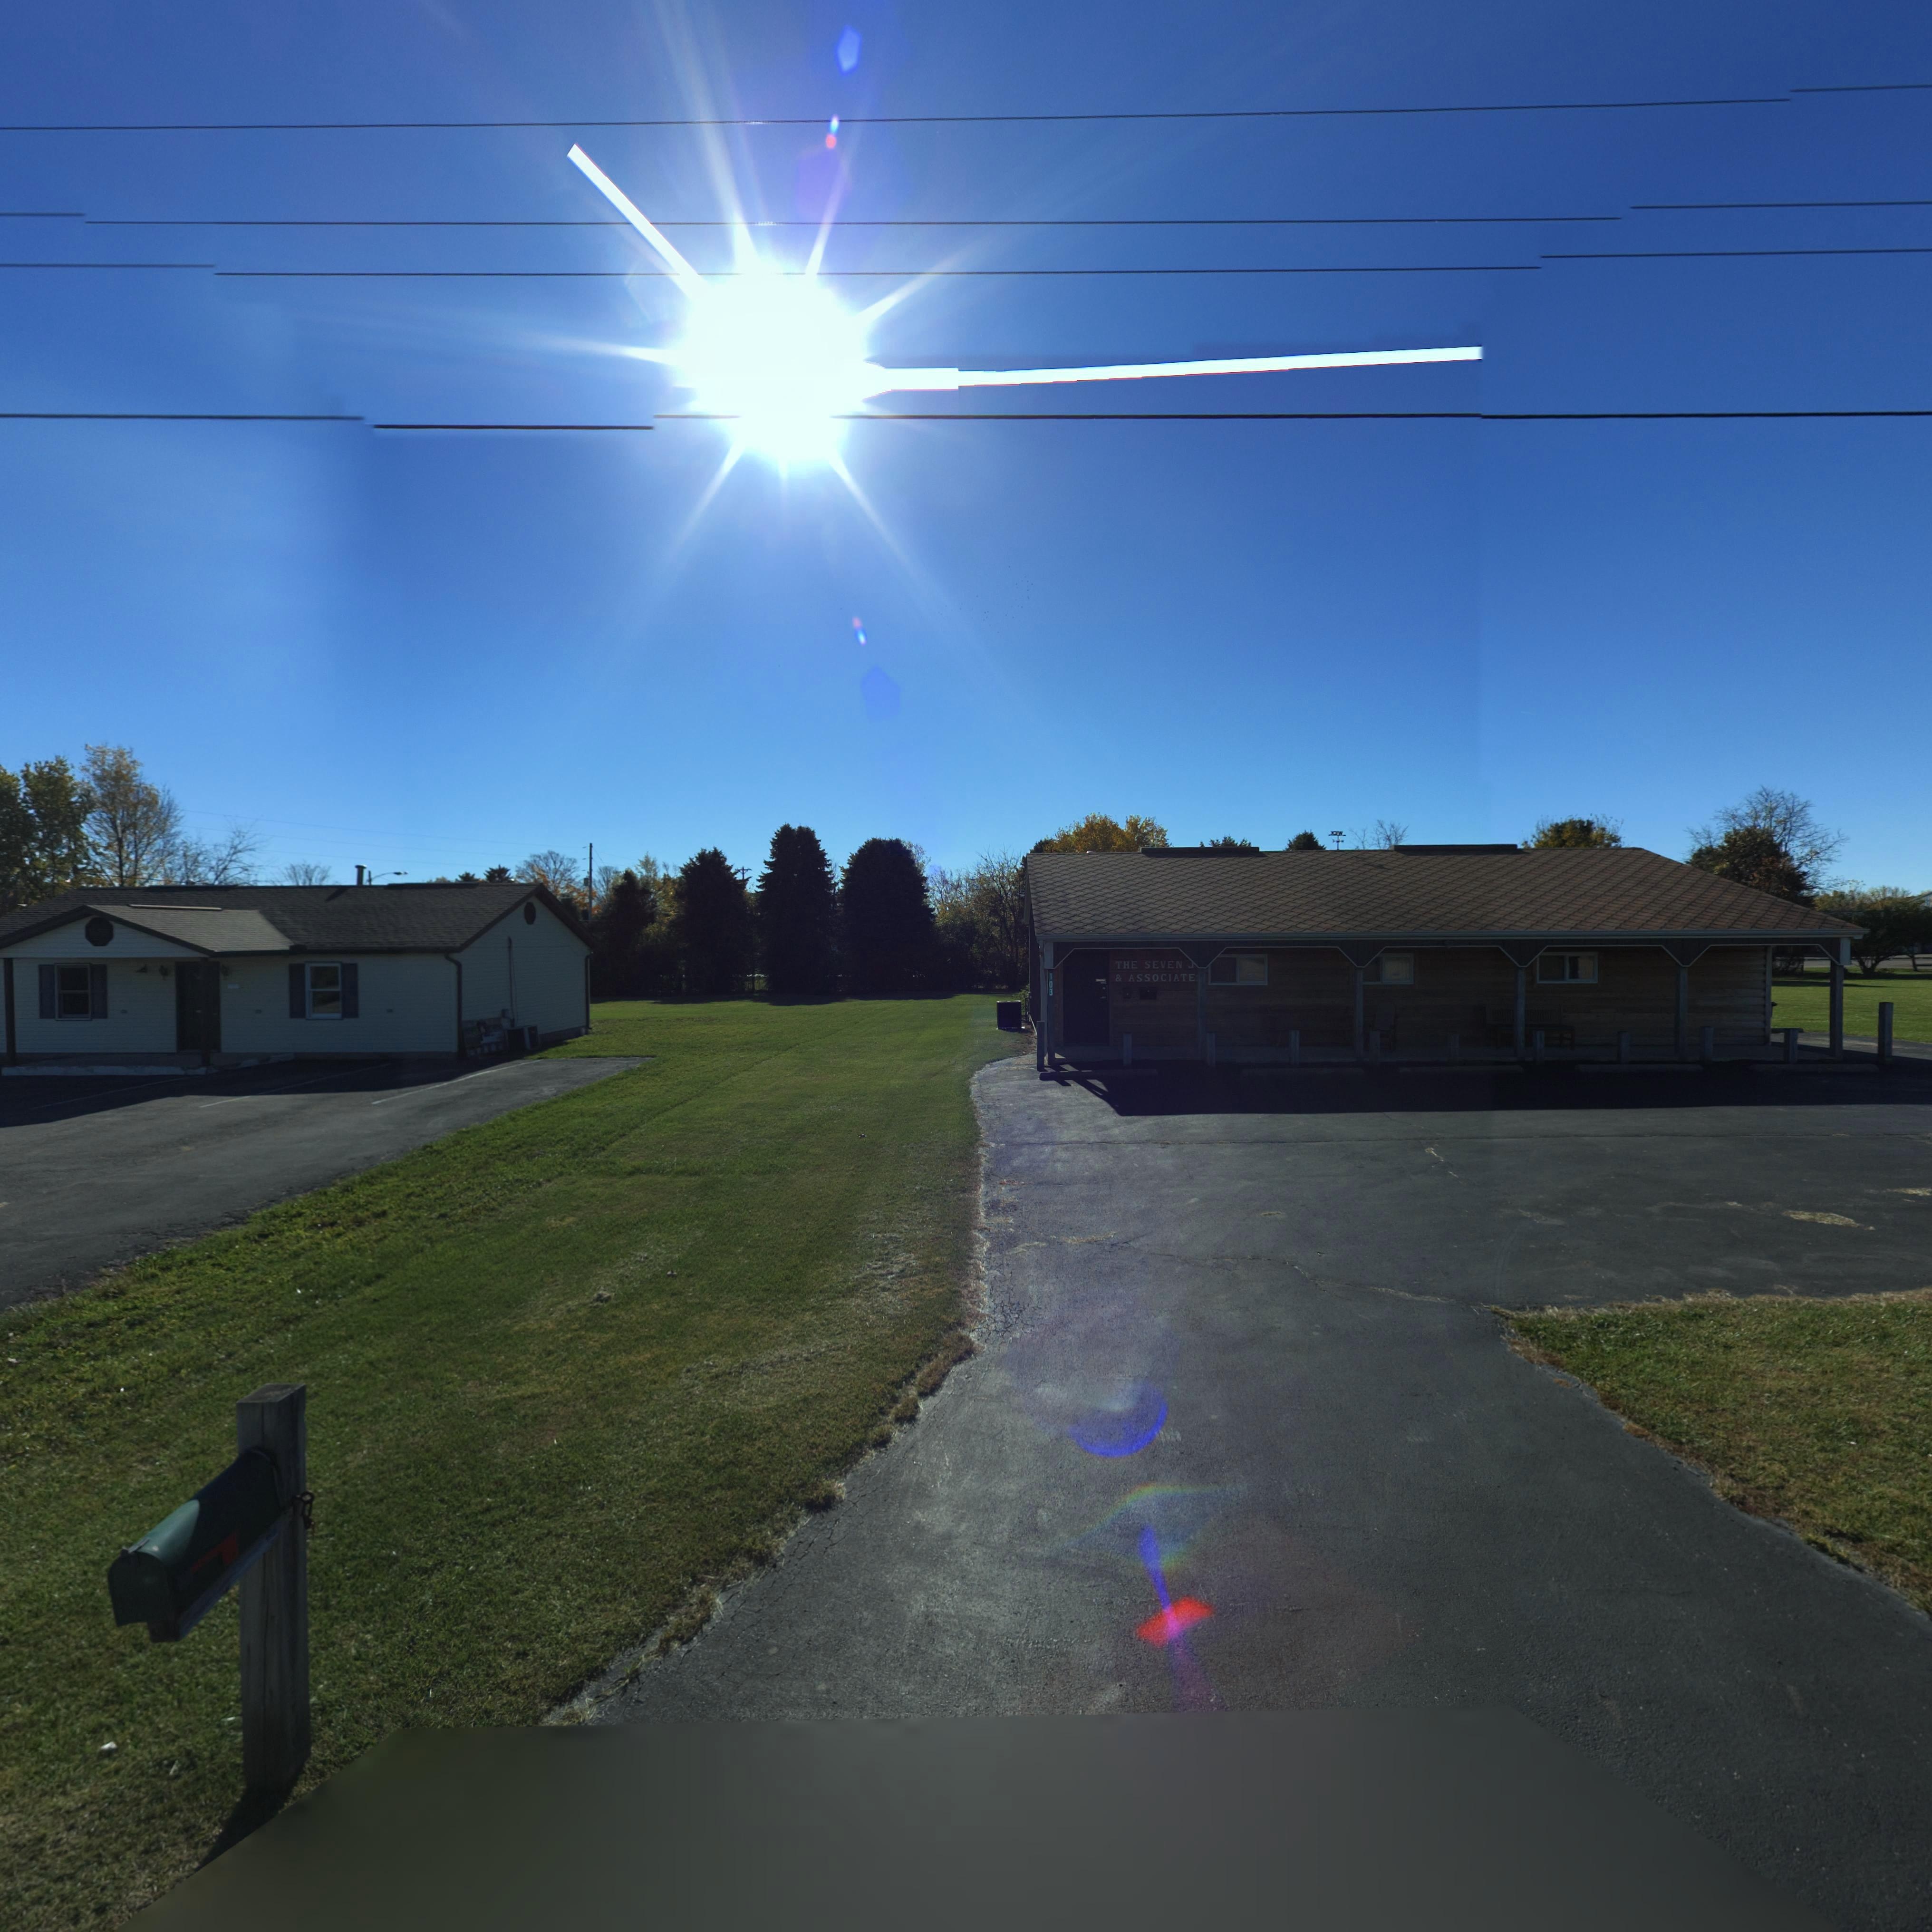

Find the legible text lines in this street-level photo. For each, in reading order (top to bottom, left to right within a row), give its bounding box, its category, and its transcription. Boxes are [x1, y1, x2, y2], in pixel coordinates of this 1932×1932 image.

[1048, 972, 1053, 996] StreetNumber: 103